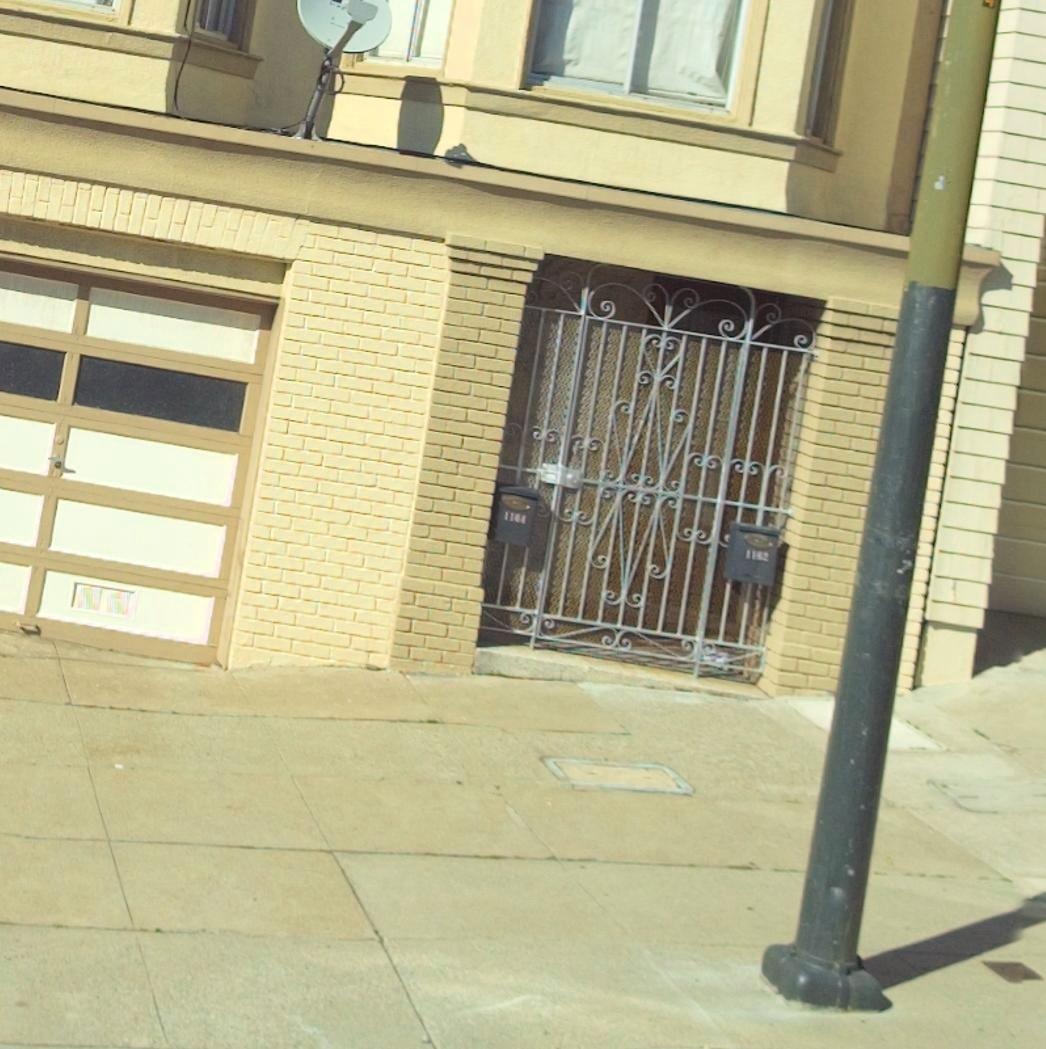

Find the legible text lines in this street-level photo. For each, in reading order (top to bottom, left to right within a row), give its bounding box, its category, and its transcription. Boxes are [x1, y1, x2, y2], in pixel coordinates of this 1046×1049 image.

[502, 510, 528, 526] StreetNumber: 1164
[743, 547, 770, 564] StreetNumber: 1162